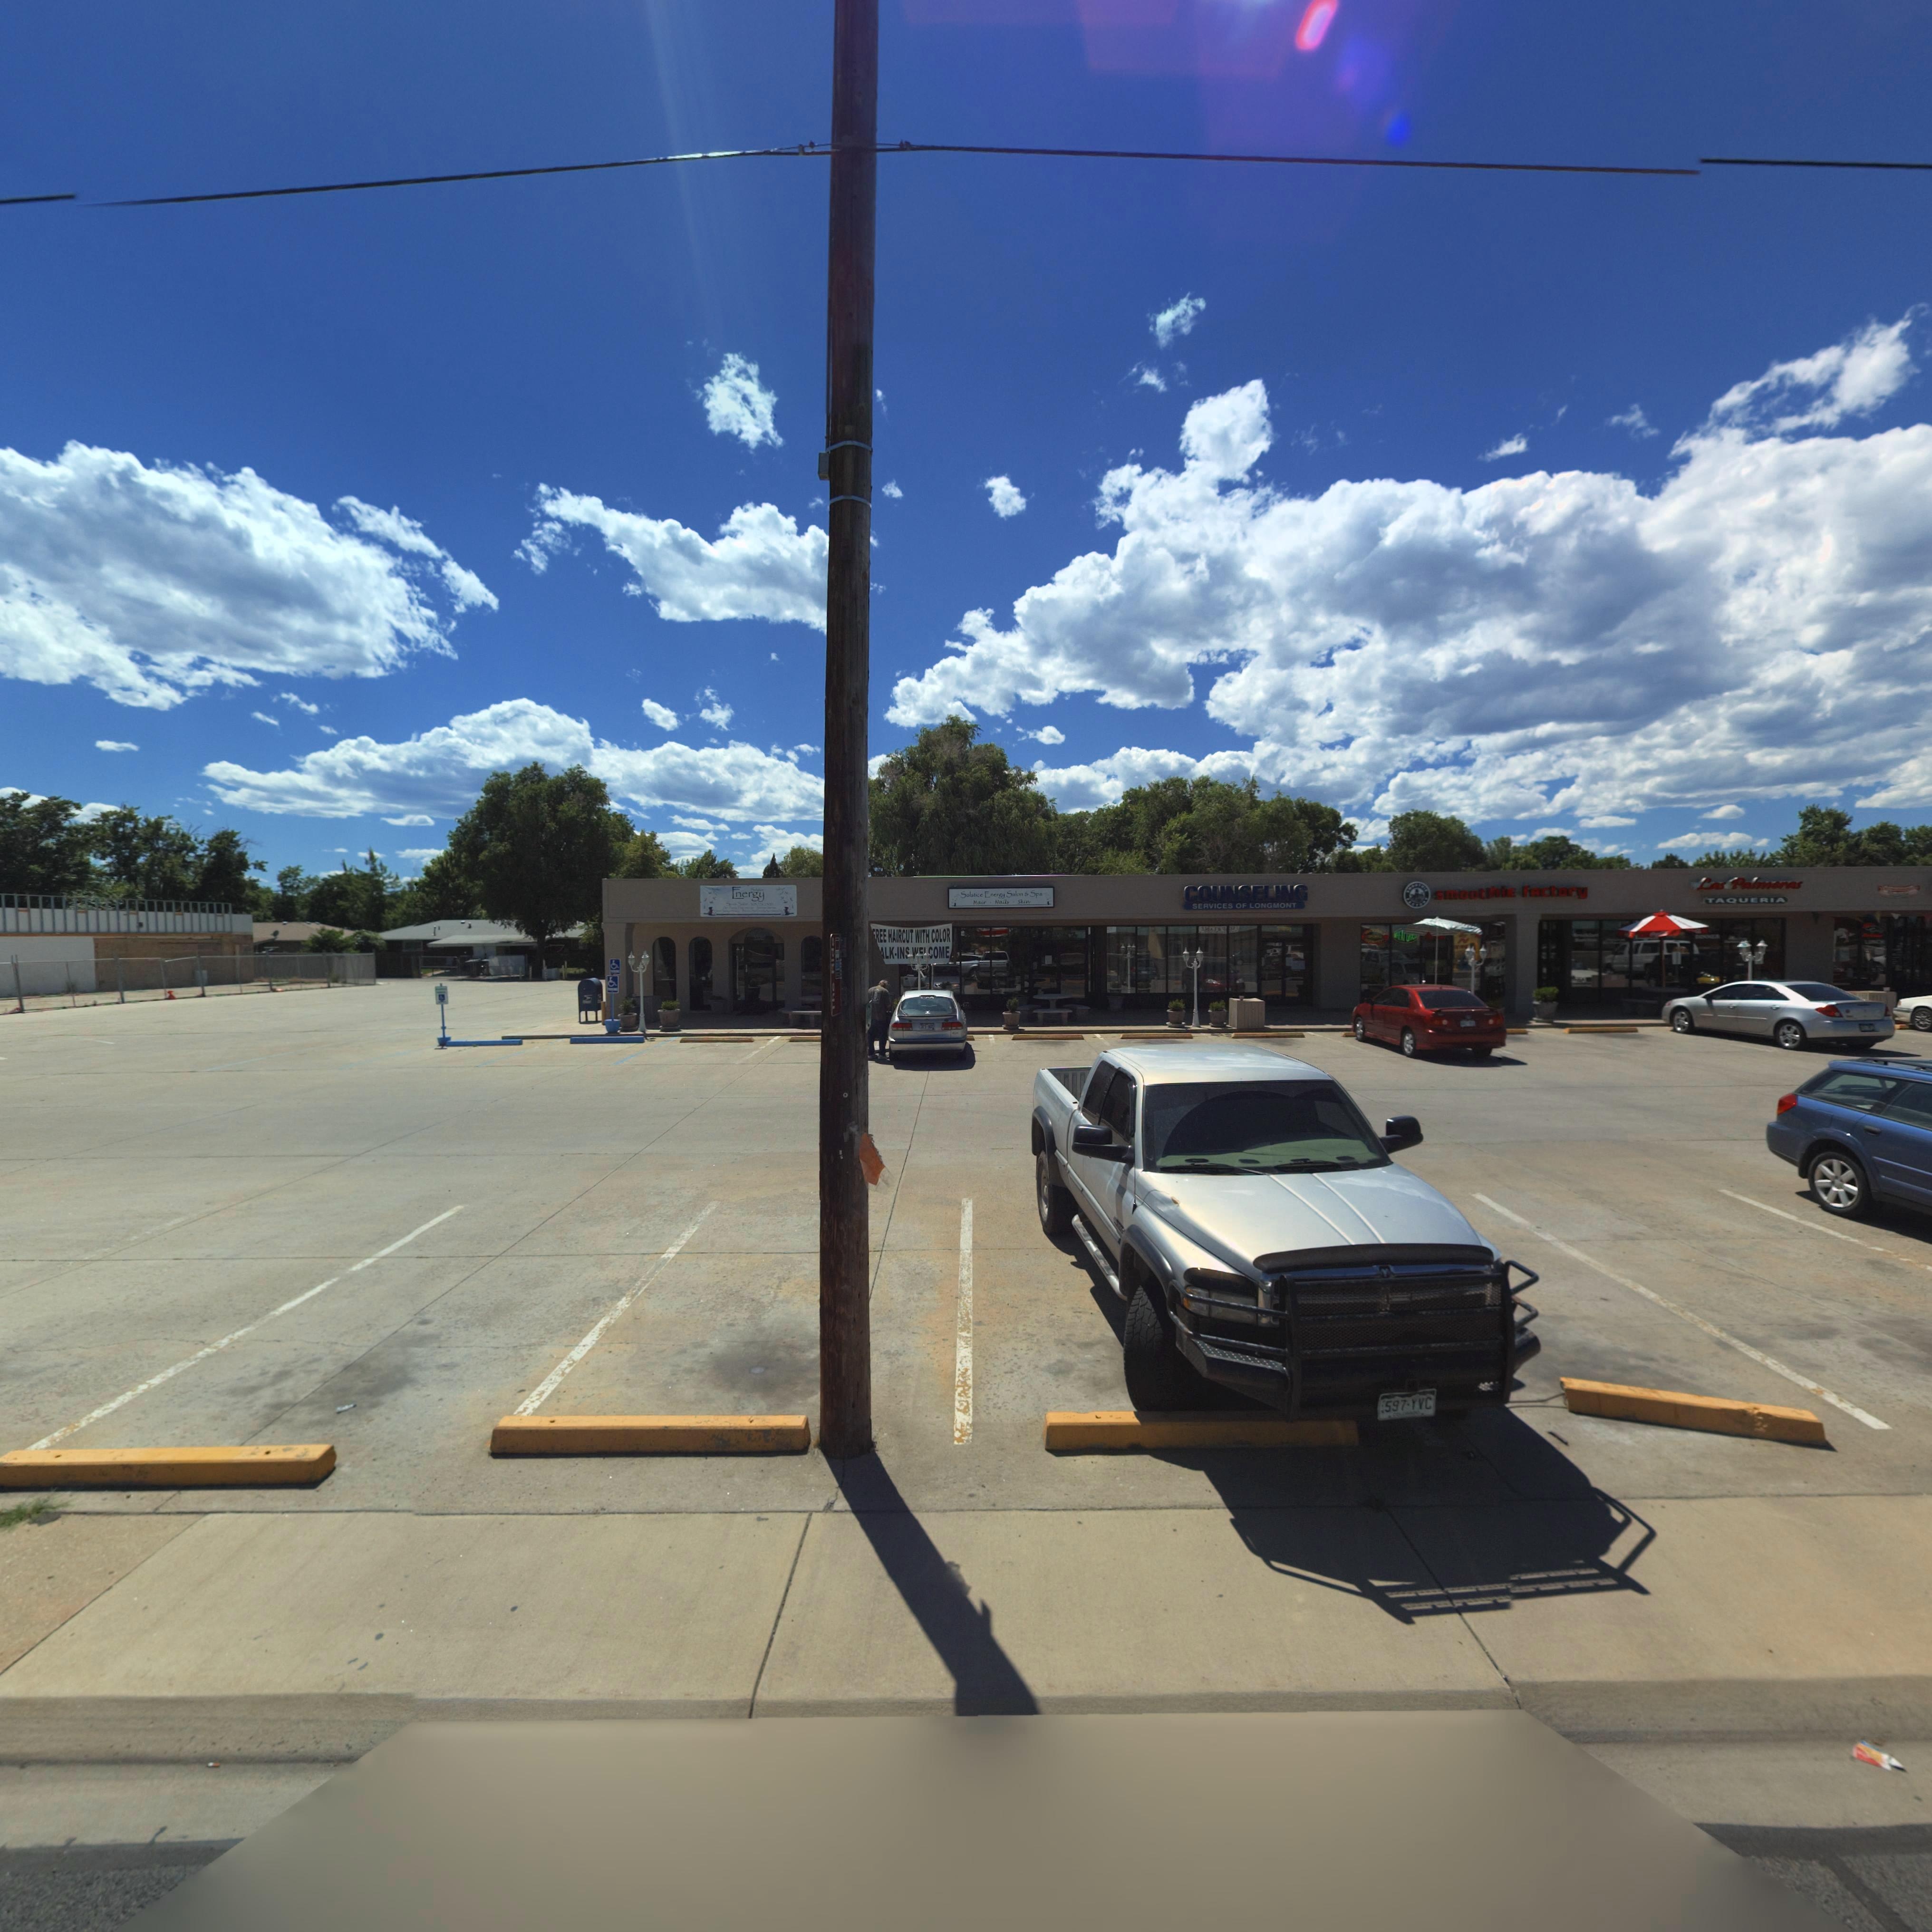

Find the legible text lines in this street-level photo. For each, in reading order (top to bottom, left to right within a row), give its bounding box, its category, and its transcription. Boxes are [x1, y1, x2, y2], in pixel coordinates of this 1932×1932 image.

[960, 889, 1043, 898] BusinessName: Solstice Energy Salon & Spa
[1183, 884, 1308, 903] BusinessName: COUNSELING
[1406, 883, 1428, 893] BusinessName: SMOOTHIE
[1435, 884, 1589, 900] BusinessName: smoothie factory
[1694, 876, 1804, 890] StreetNumber: Las Palmoras
[1191, 902, 1297, 909] BusinessName: SERVICES OF LONGMONT
[1405, 897, 1428, 907] BusinessName: FACTORY